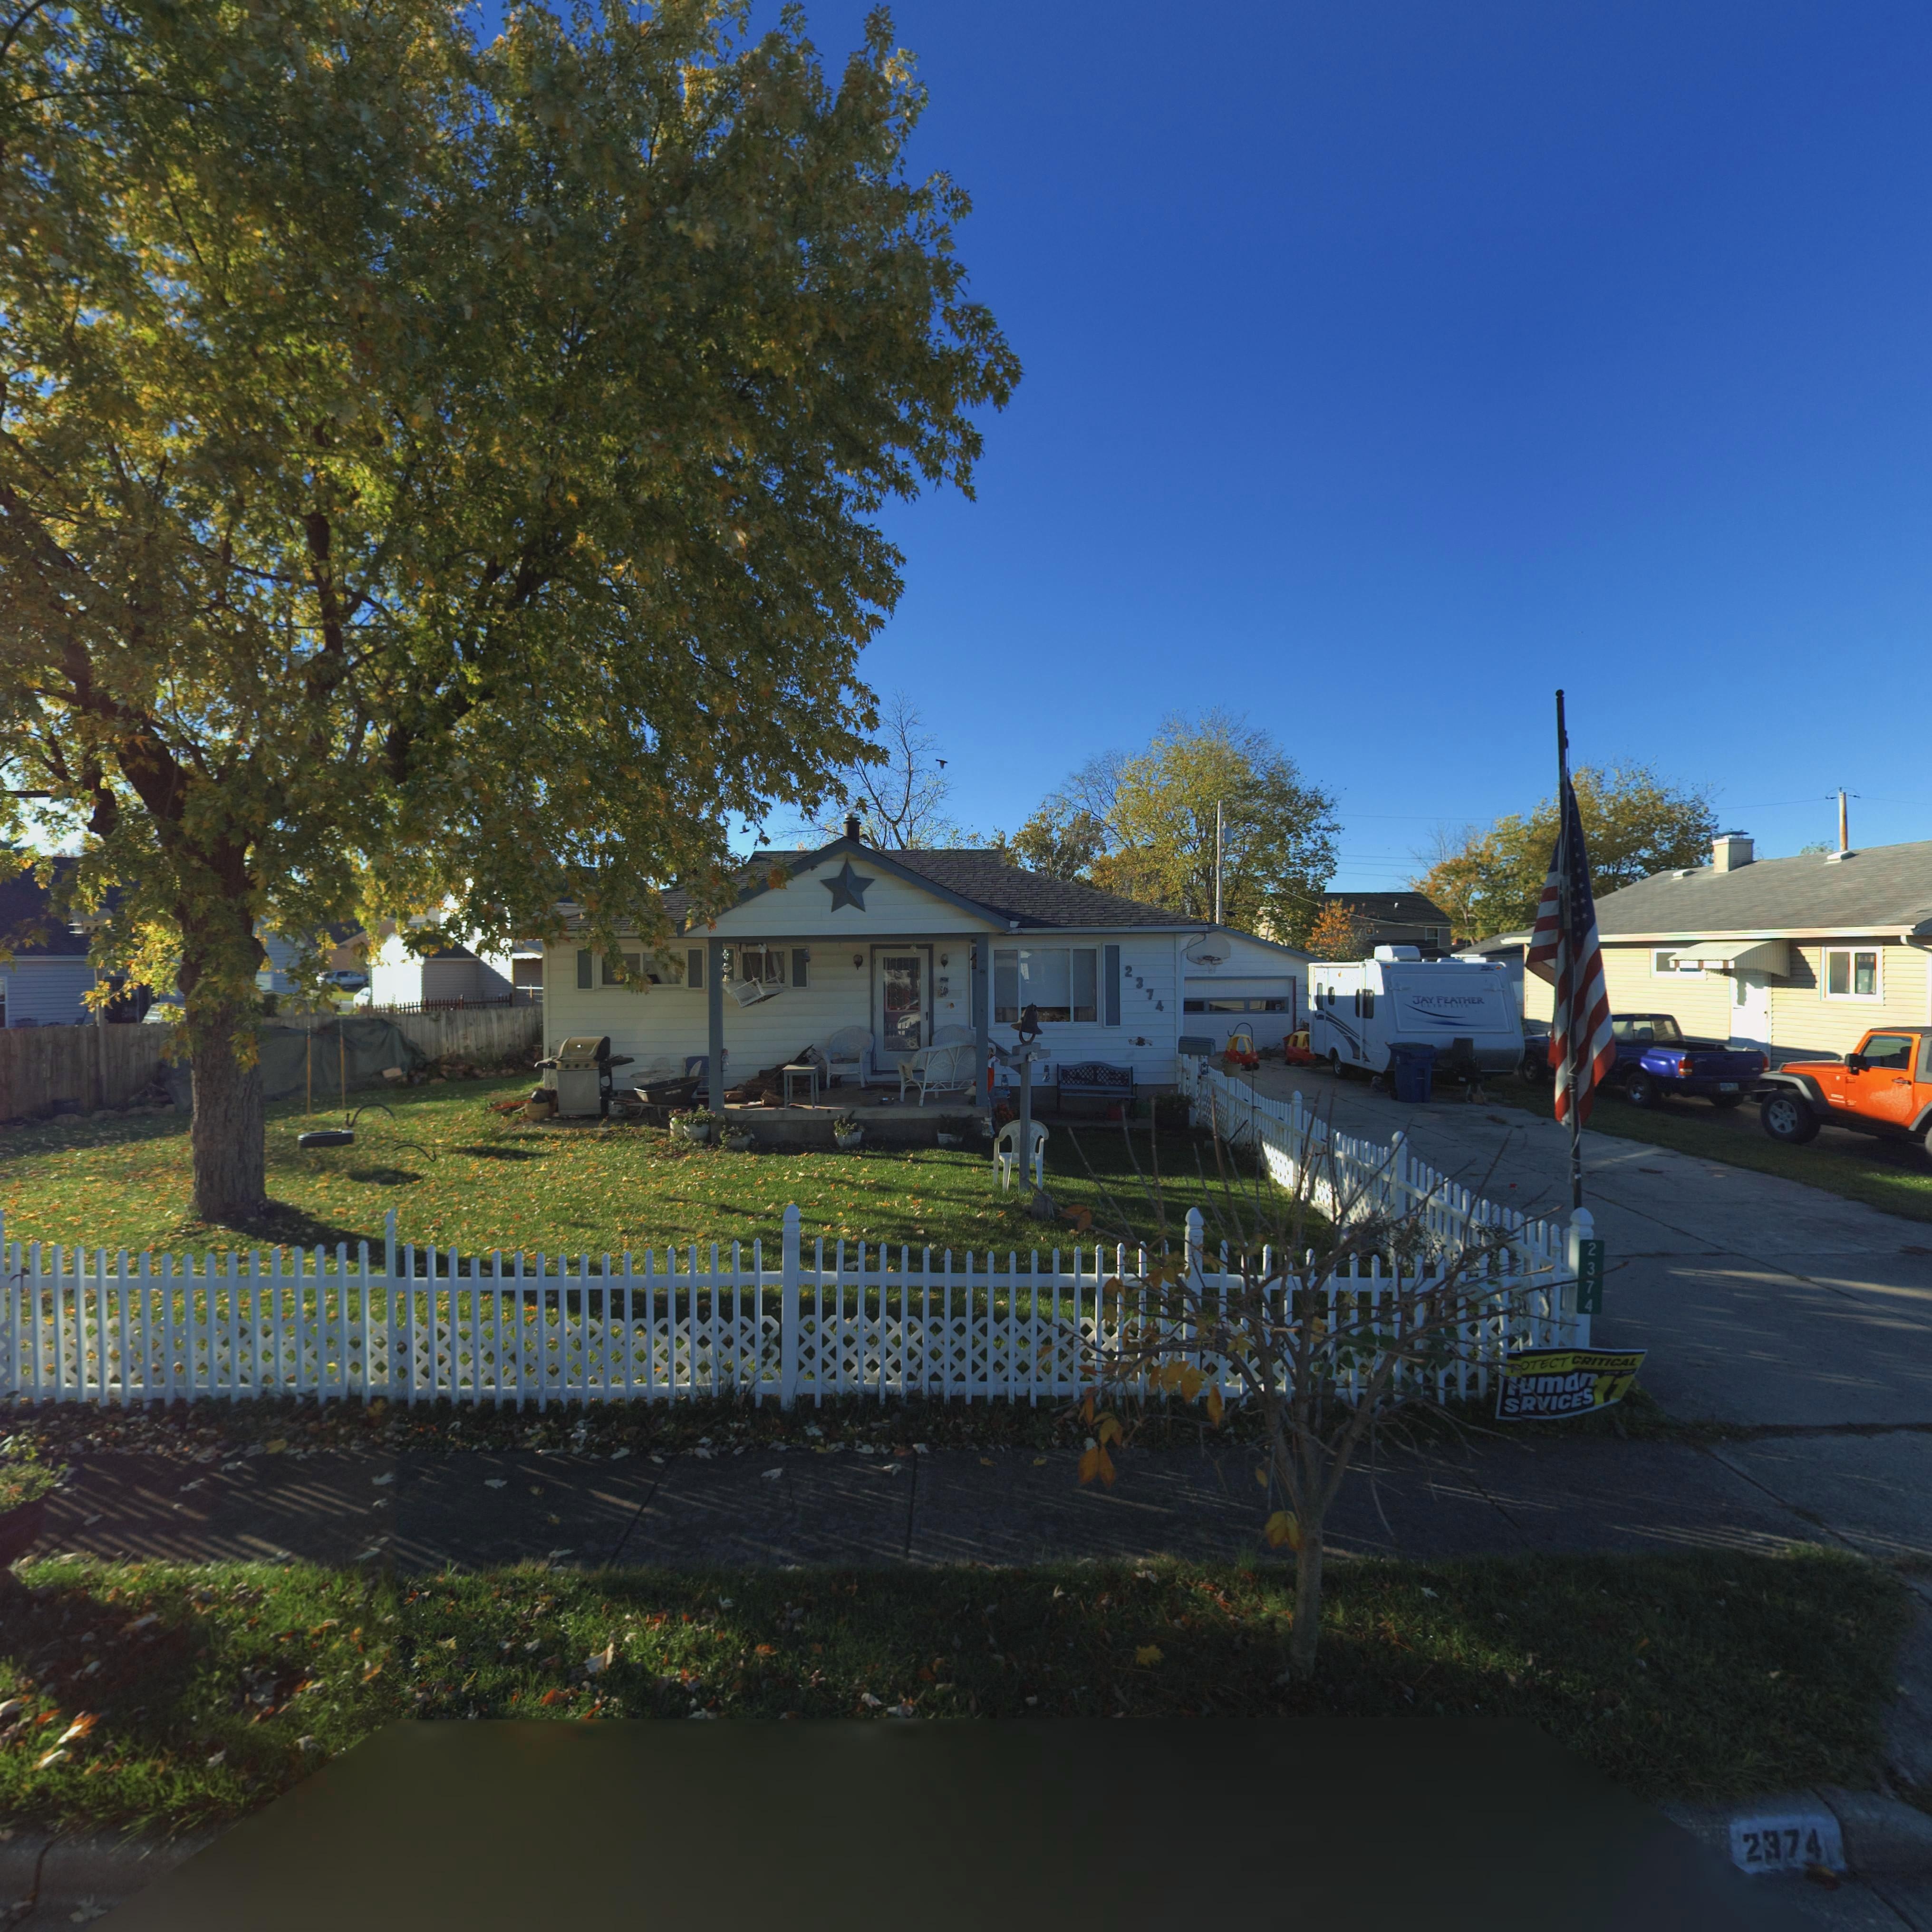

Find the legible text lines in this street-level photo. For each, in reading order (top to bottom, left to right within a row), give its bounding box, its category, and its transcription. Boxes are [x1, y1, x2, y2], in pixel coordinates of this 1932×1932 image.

[1124, 965, 1165, 1012] StreetNumber: 2374
[1583, 1241, 1598, 1314] StreetNumber: 2374